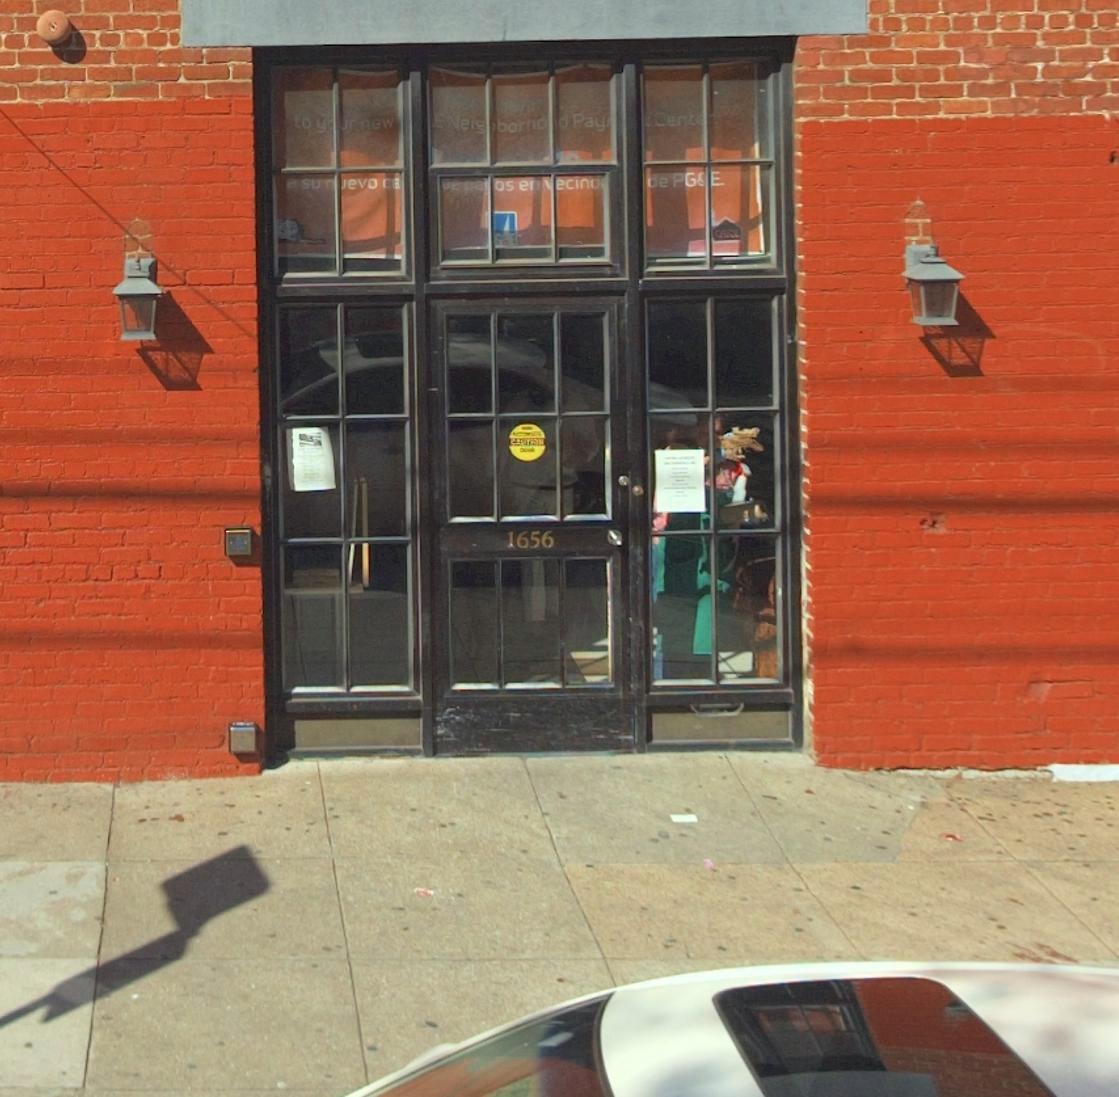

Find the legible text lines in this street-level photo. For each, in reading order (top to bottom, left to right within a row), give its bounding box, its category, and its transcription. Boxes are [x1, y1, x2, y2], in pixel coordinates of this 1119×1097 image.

[506, 529, 555, 551] StreetNumber: 1656